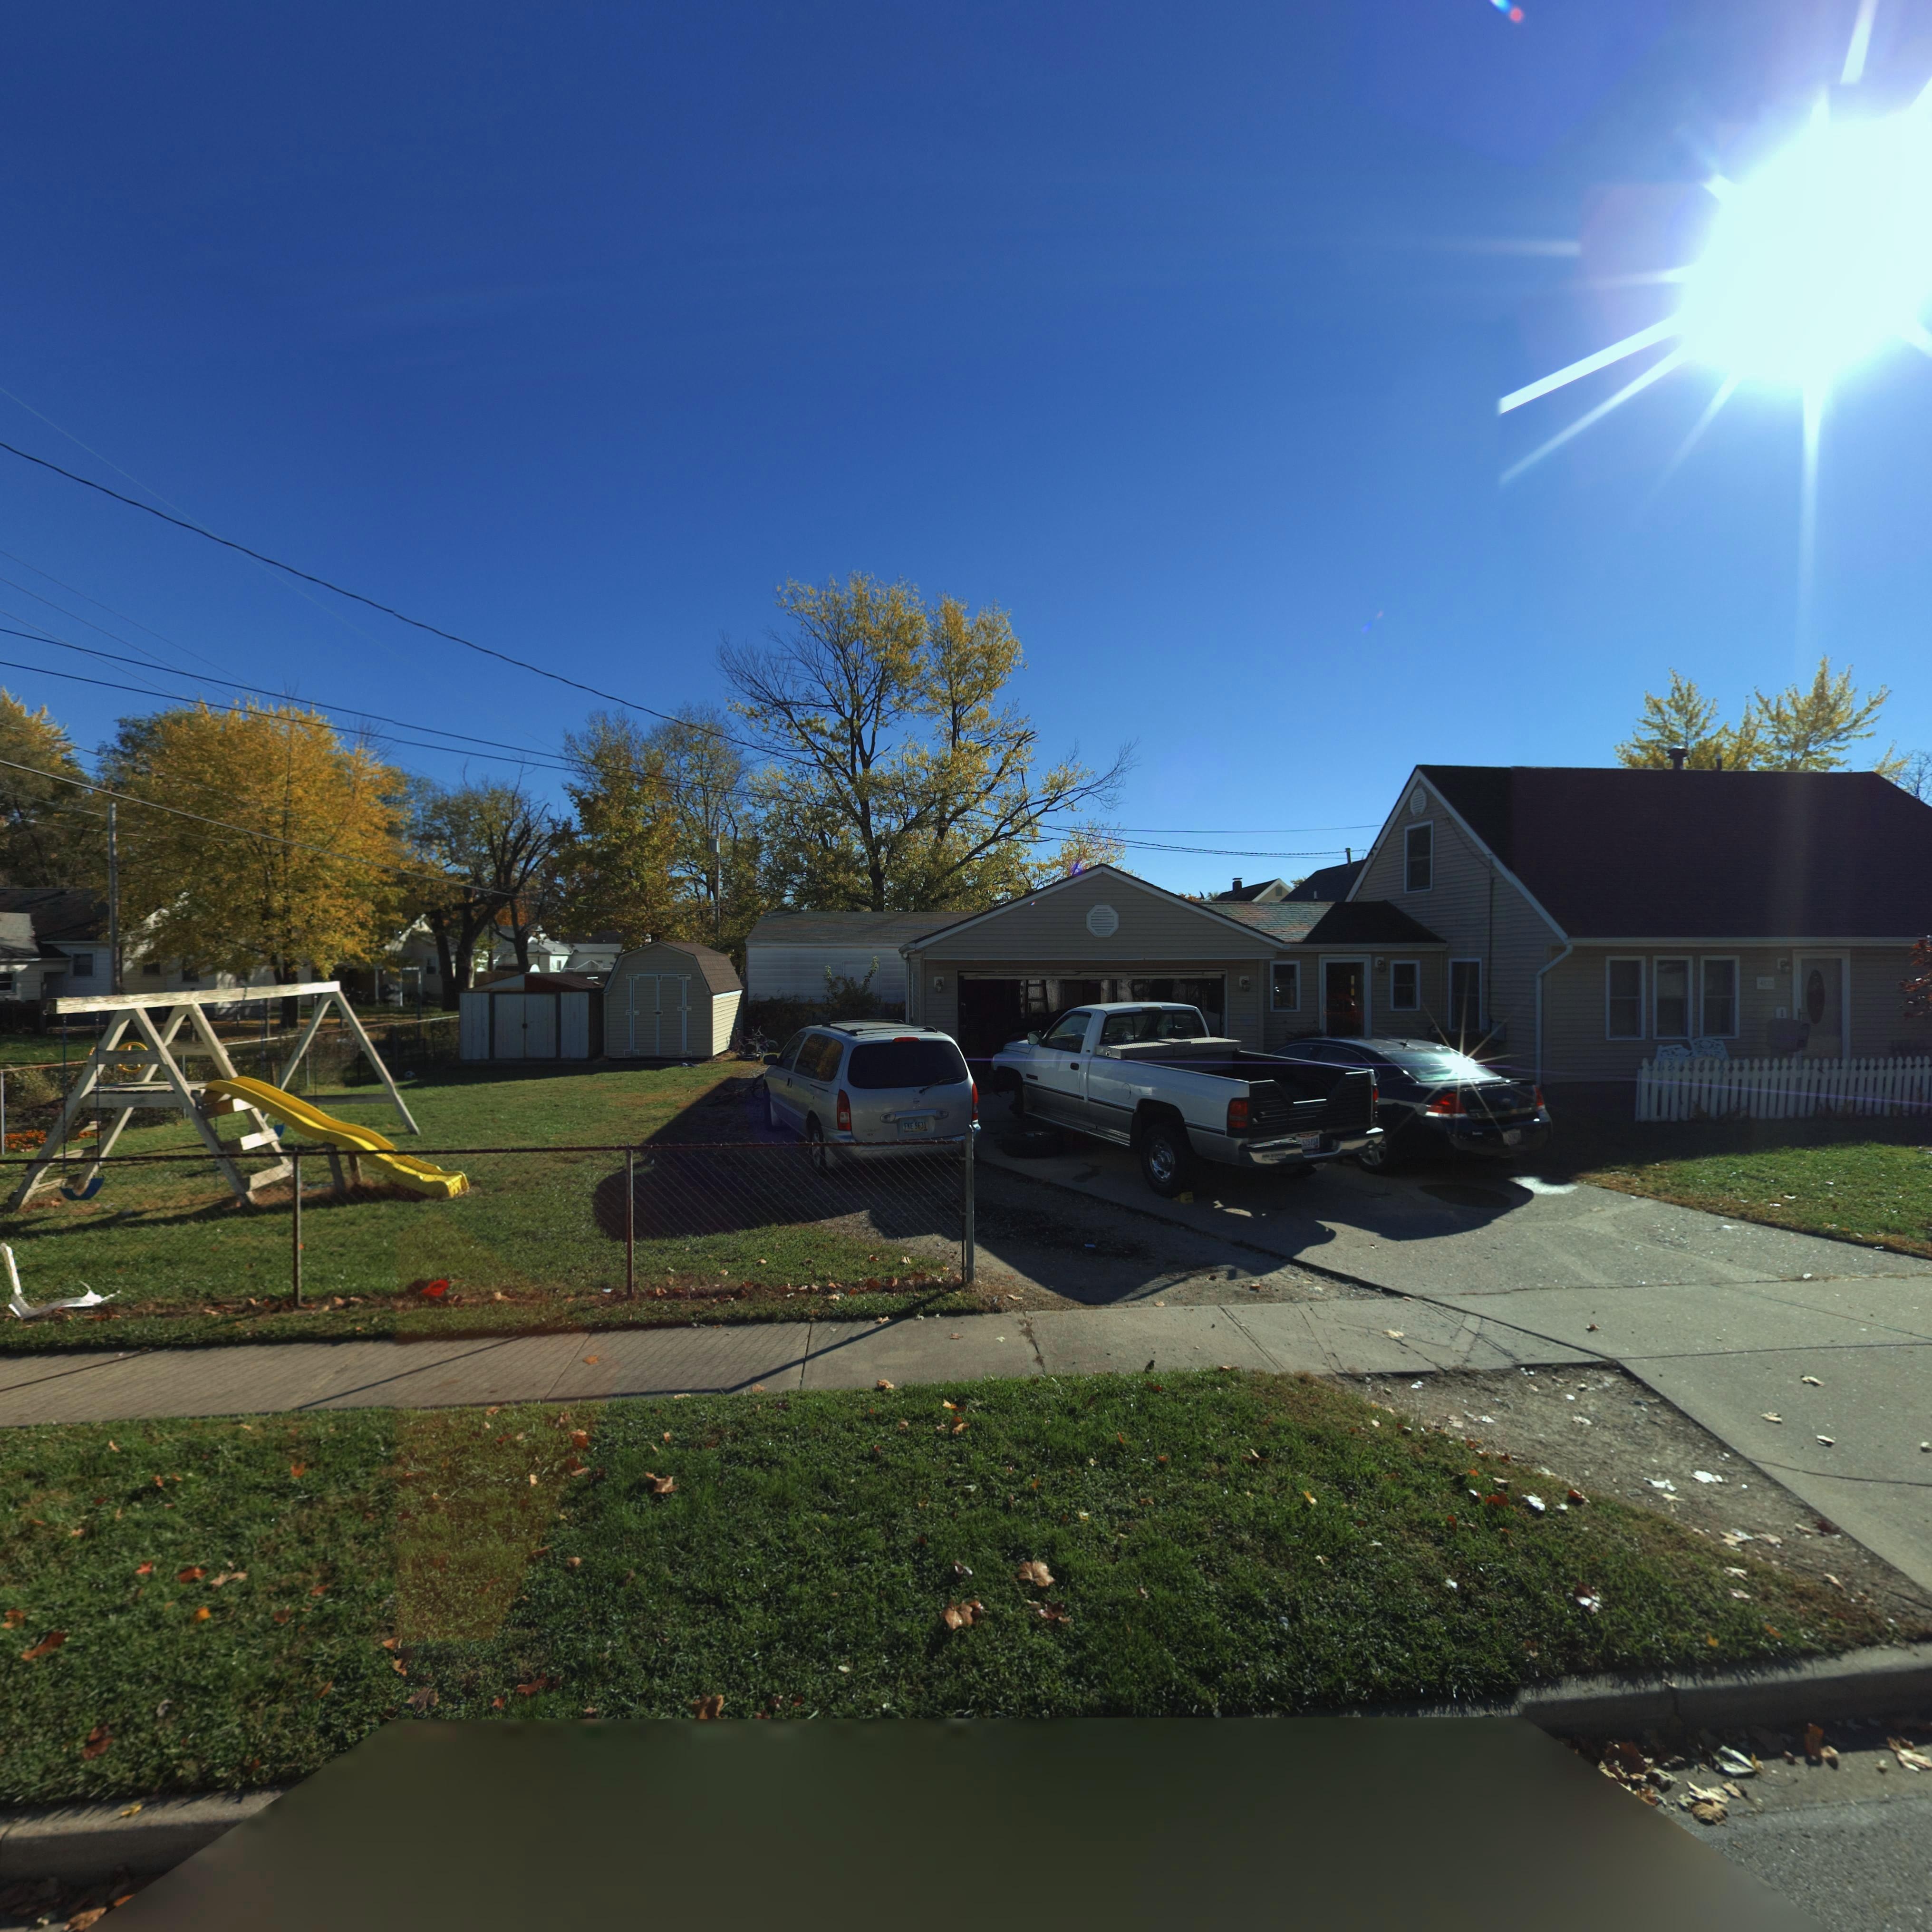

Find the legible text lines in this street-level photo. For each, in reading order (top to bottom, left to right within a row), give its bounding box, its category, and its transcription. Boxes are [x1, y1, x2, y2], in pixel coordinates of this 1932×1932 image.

[1759, 979, 1774, 987] StreetNumber: 48*0